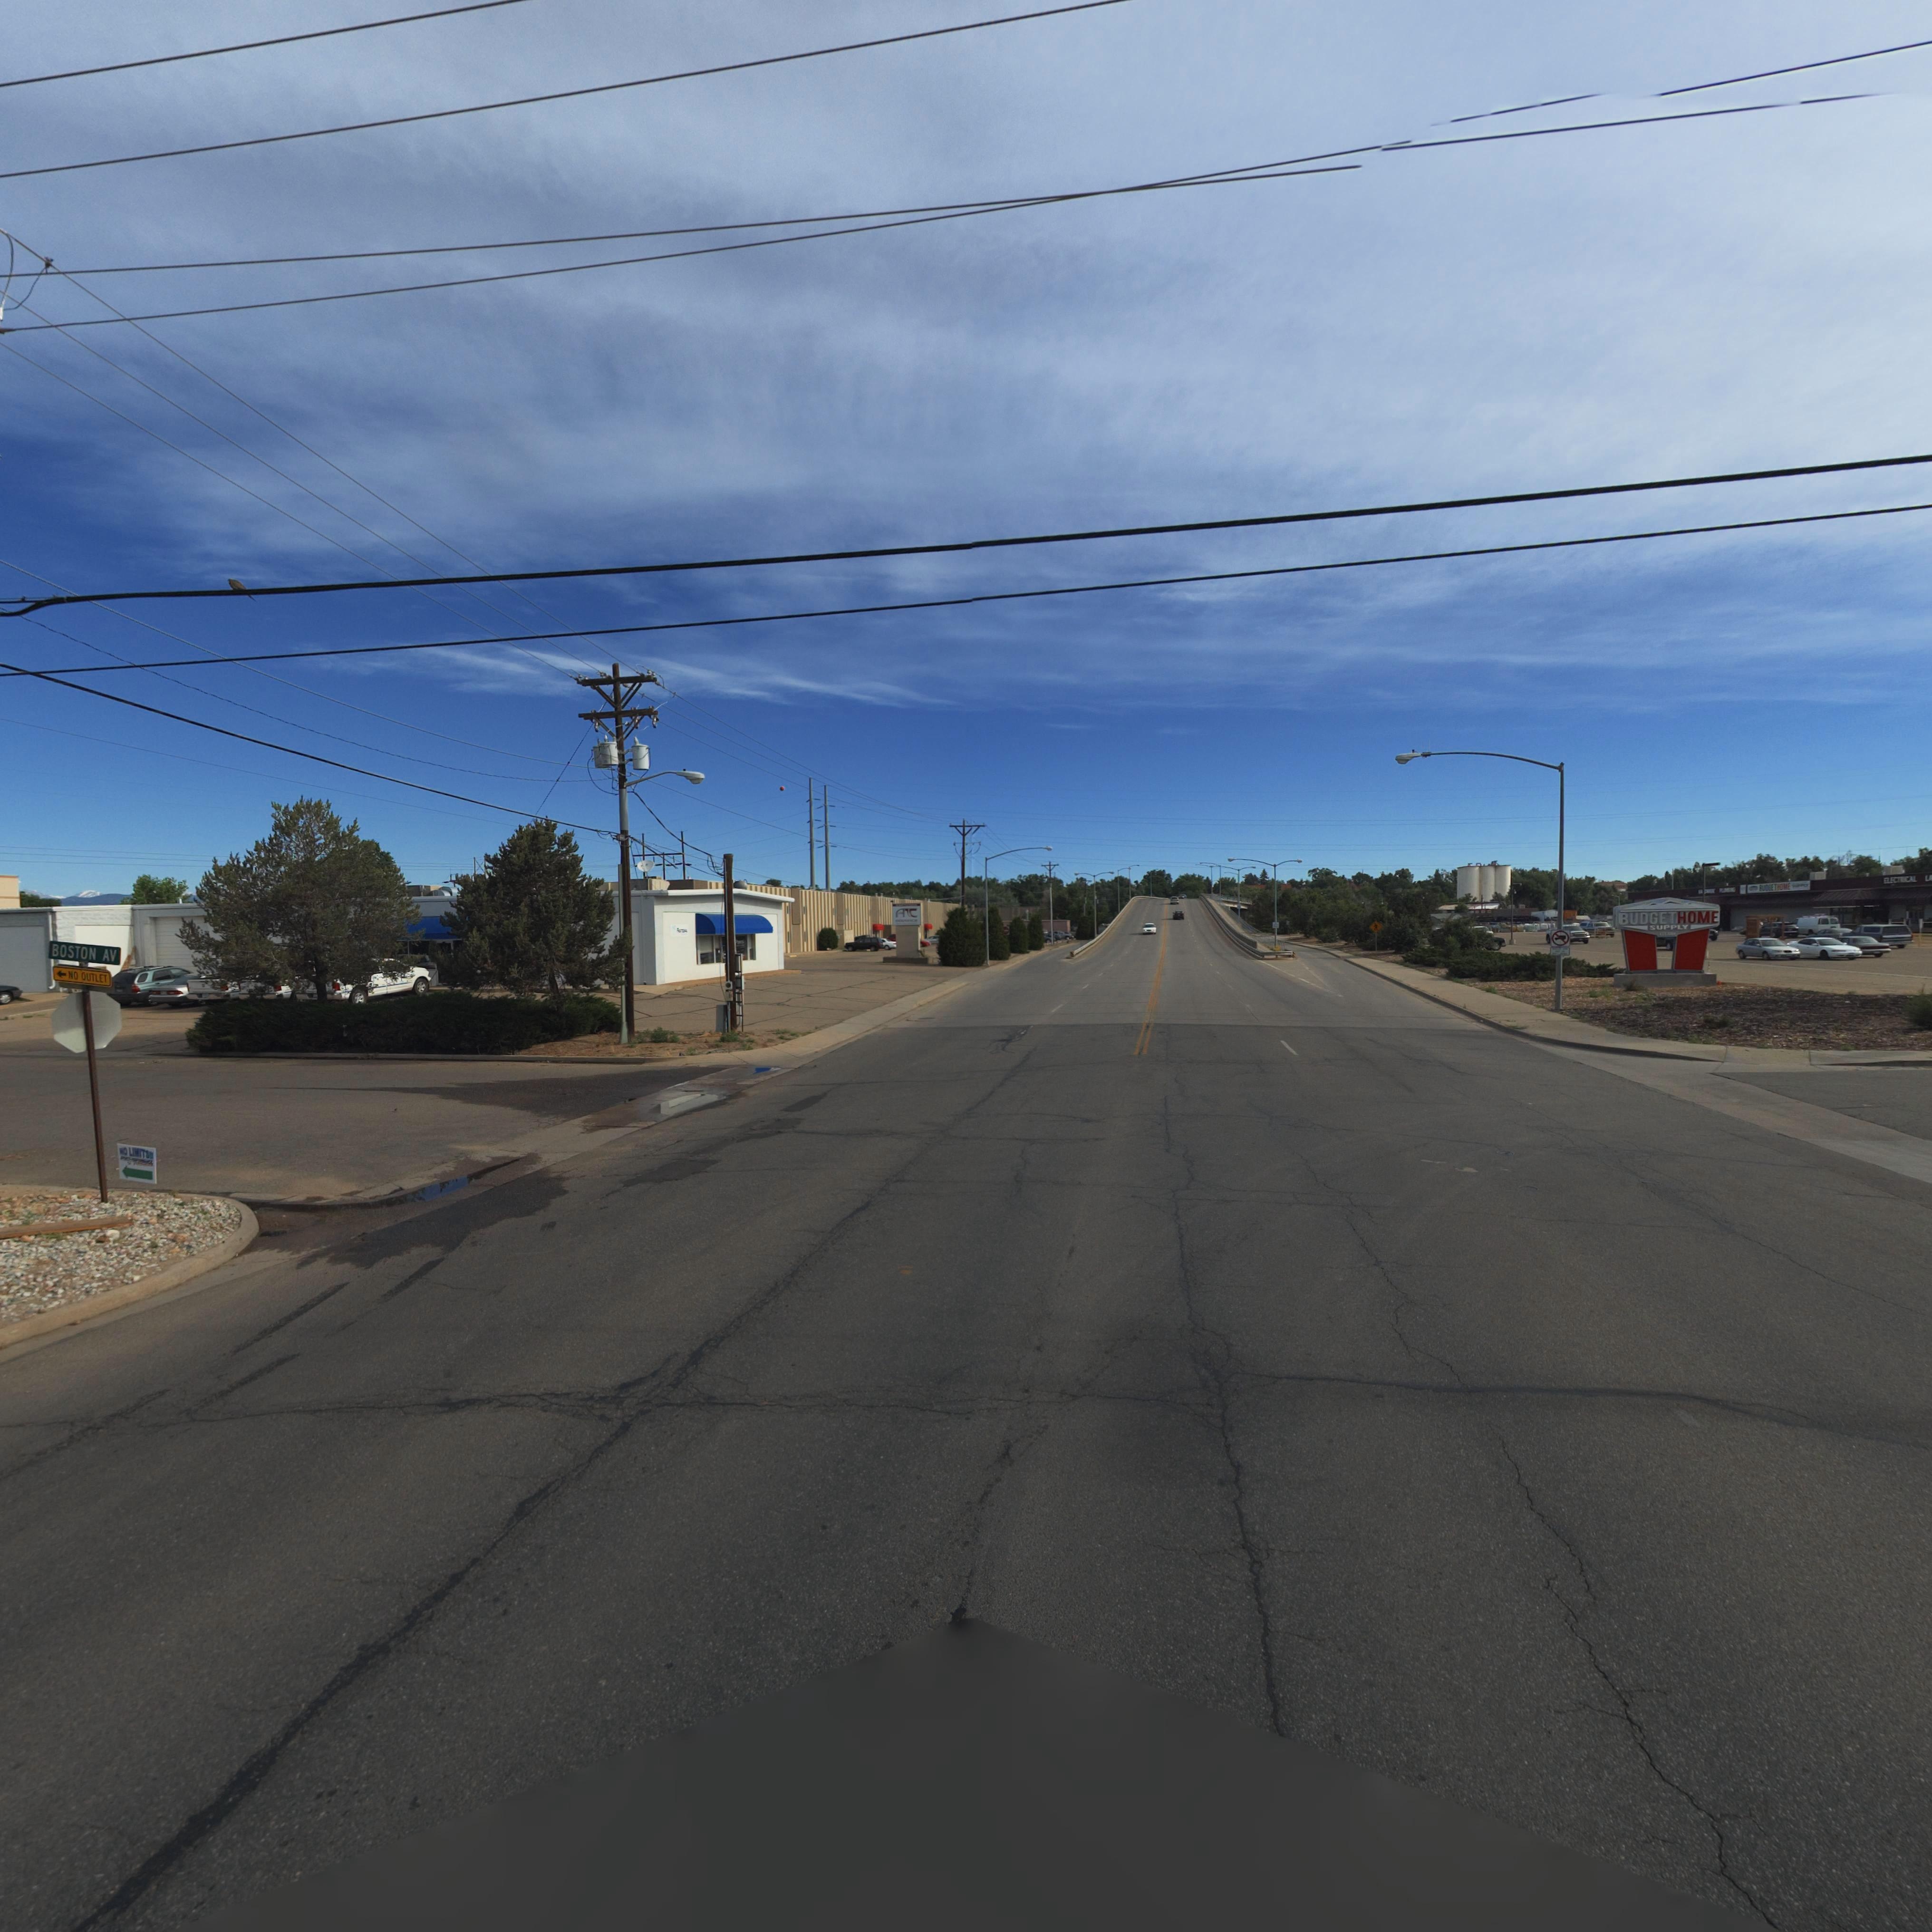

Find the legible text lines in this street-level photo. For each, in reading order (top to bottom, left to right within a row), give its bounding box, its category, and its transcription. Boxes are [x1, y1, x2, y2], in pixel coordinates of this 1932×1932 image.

[1758, 882, 1790, 891] BusinessName: BUDGETHOME
[895, 908, 918, 918] BusinessName: ArC
[1618, 910, 1719, 925] BusinessName: BUDGETHOME
[1649, 924, 1688, 930] BusinessName: SUPPLY
[51, 943, 117, 962] StreetName: BOSTON AV